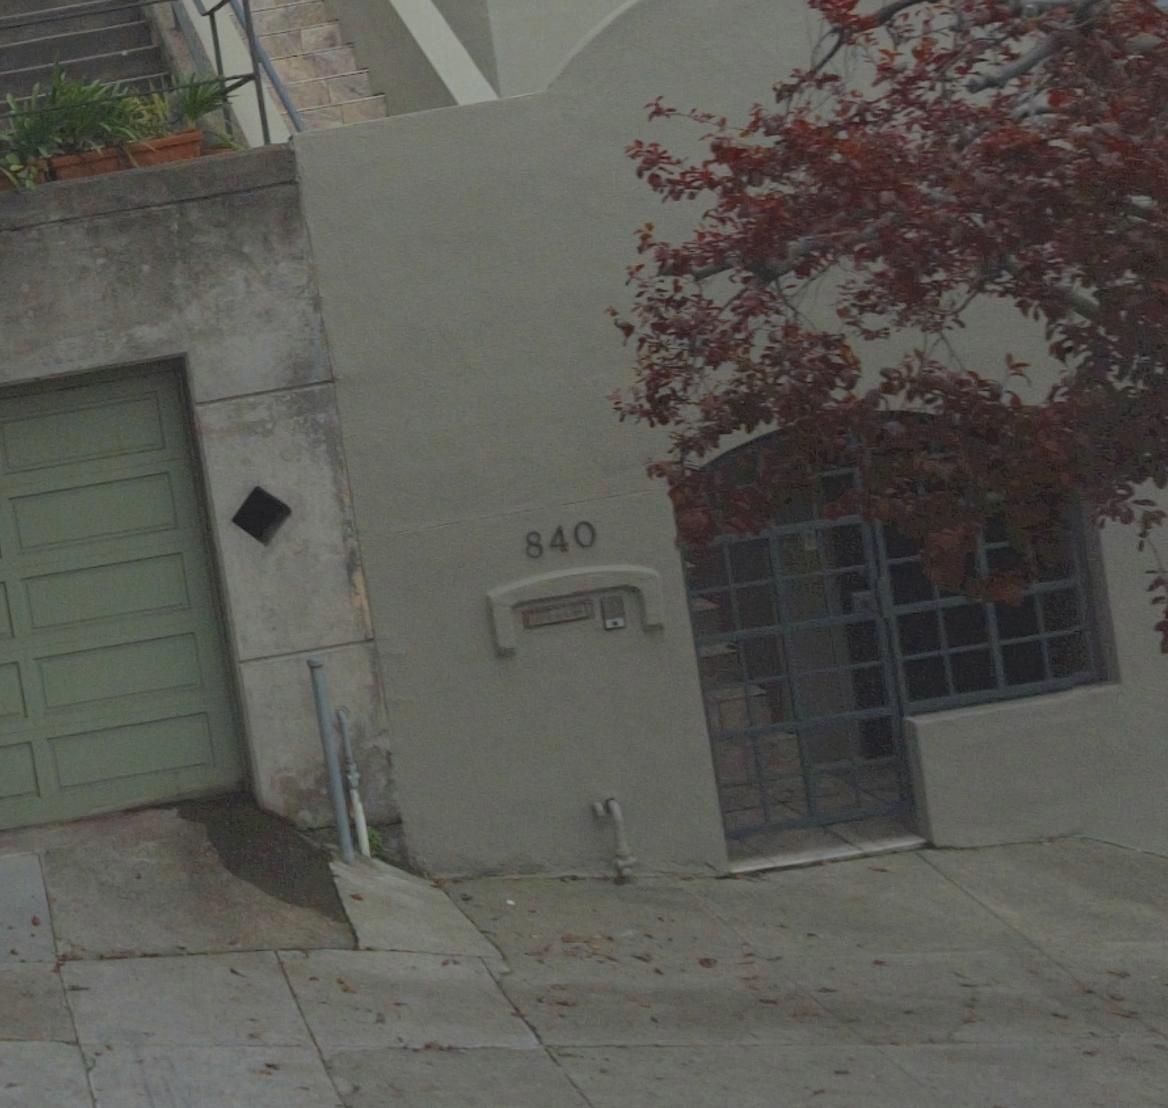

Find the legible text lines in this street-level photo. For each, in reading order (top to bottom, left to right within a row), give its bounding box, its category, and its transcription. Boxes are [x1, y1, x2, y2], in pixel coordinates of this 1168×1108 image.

[525, 518, 600, 563] StreetNumber: 840